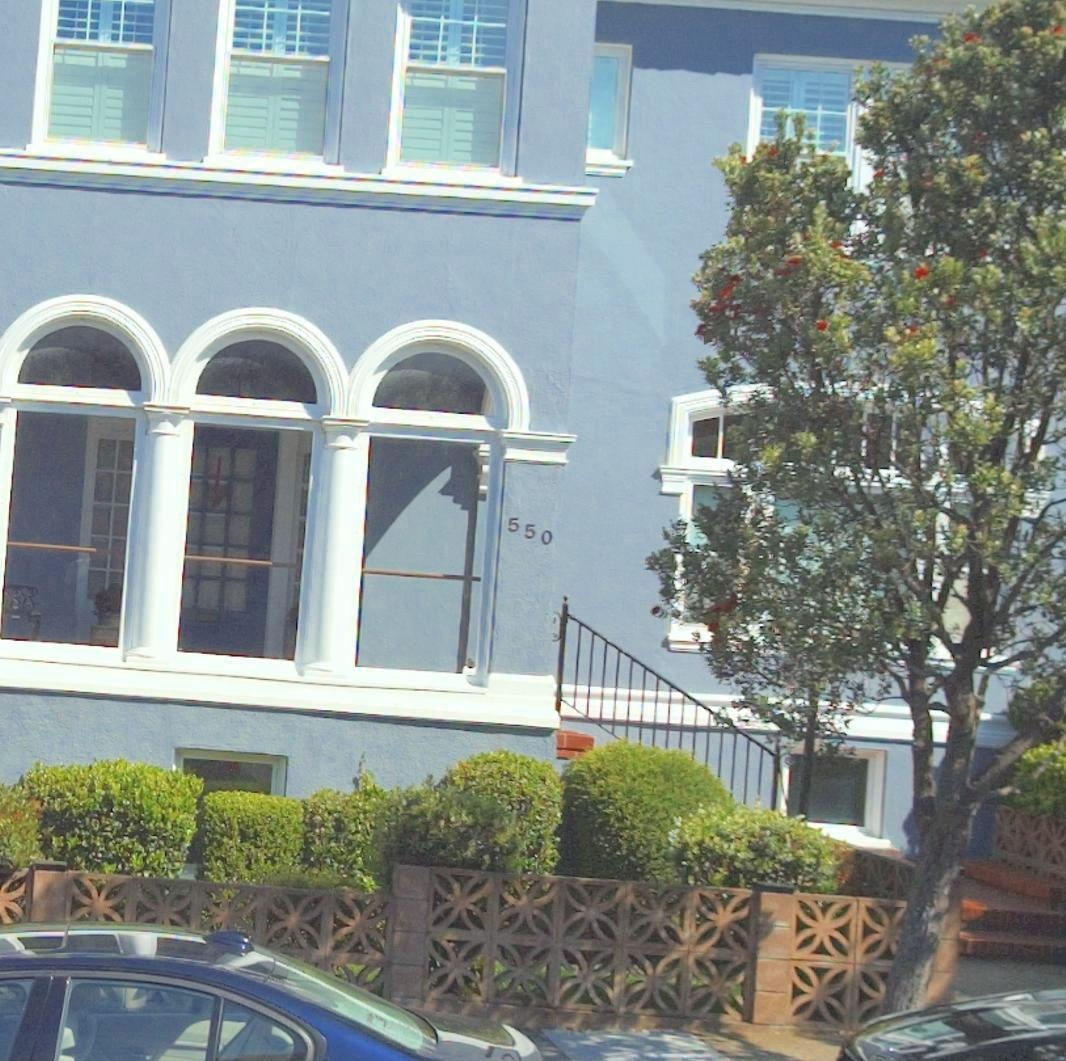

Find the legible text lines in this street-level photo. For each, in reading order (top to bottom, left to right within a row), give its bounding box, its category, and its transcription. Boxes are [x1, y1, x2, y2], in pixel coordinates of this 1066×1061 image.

[507, 513, 554, 549] StreetNumber: 550